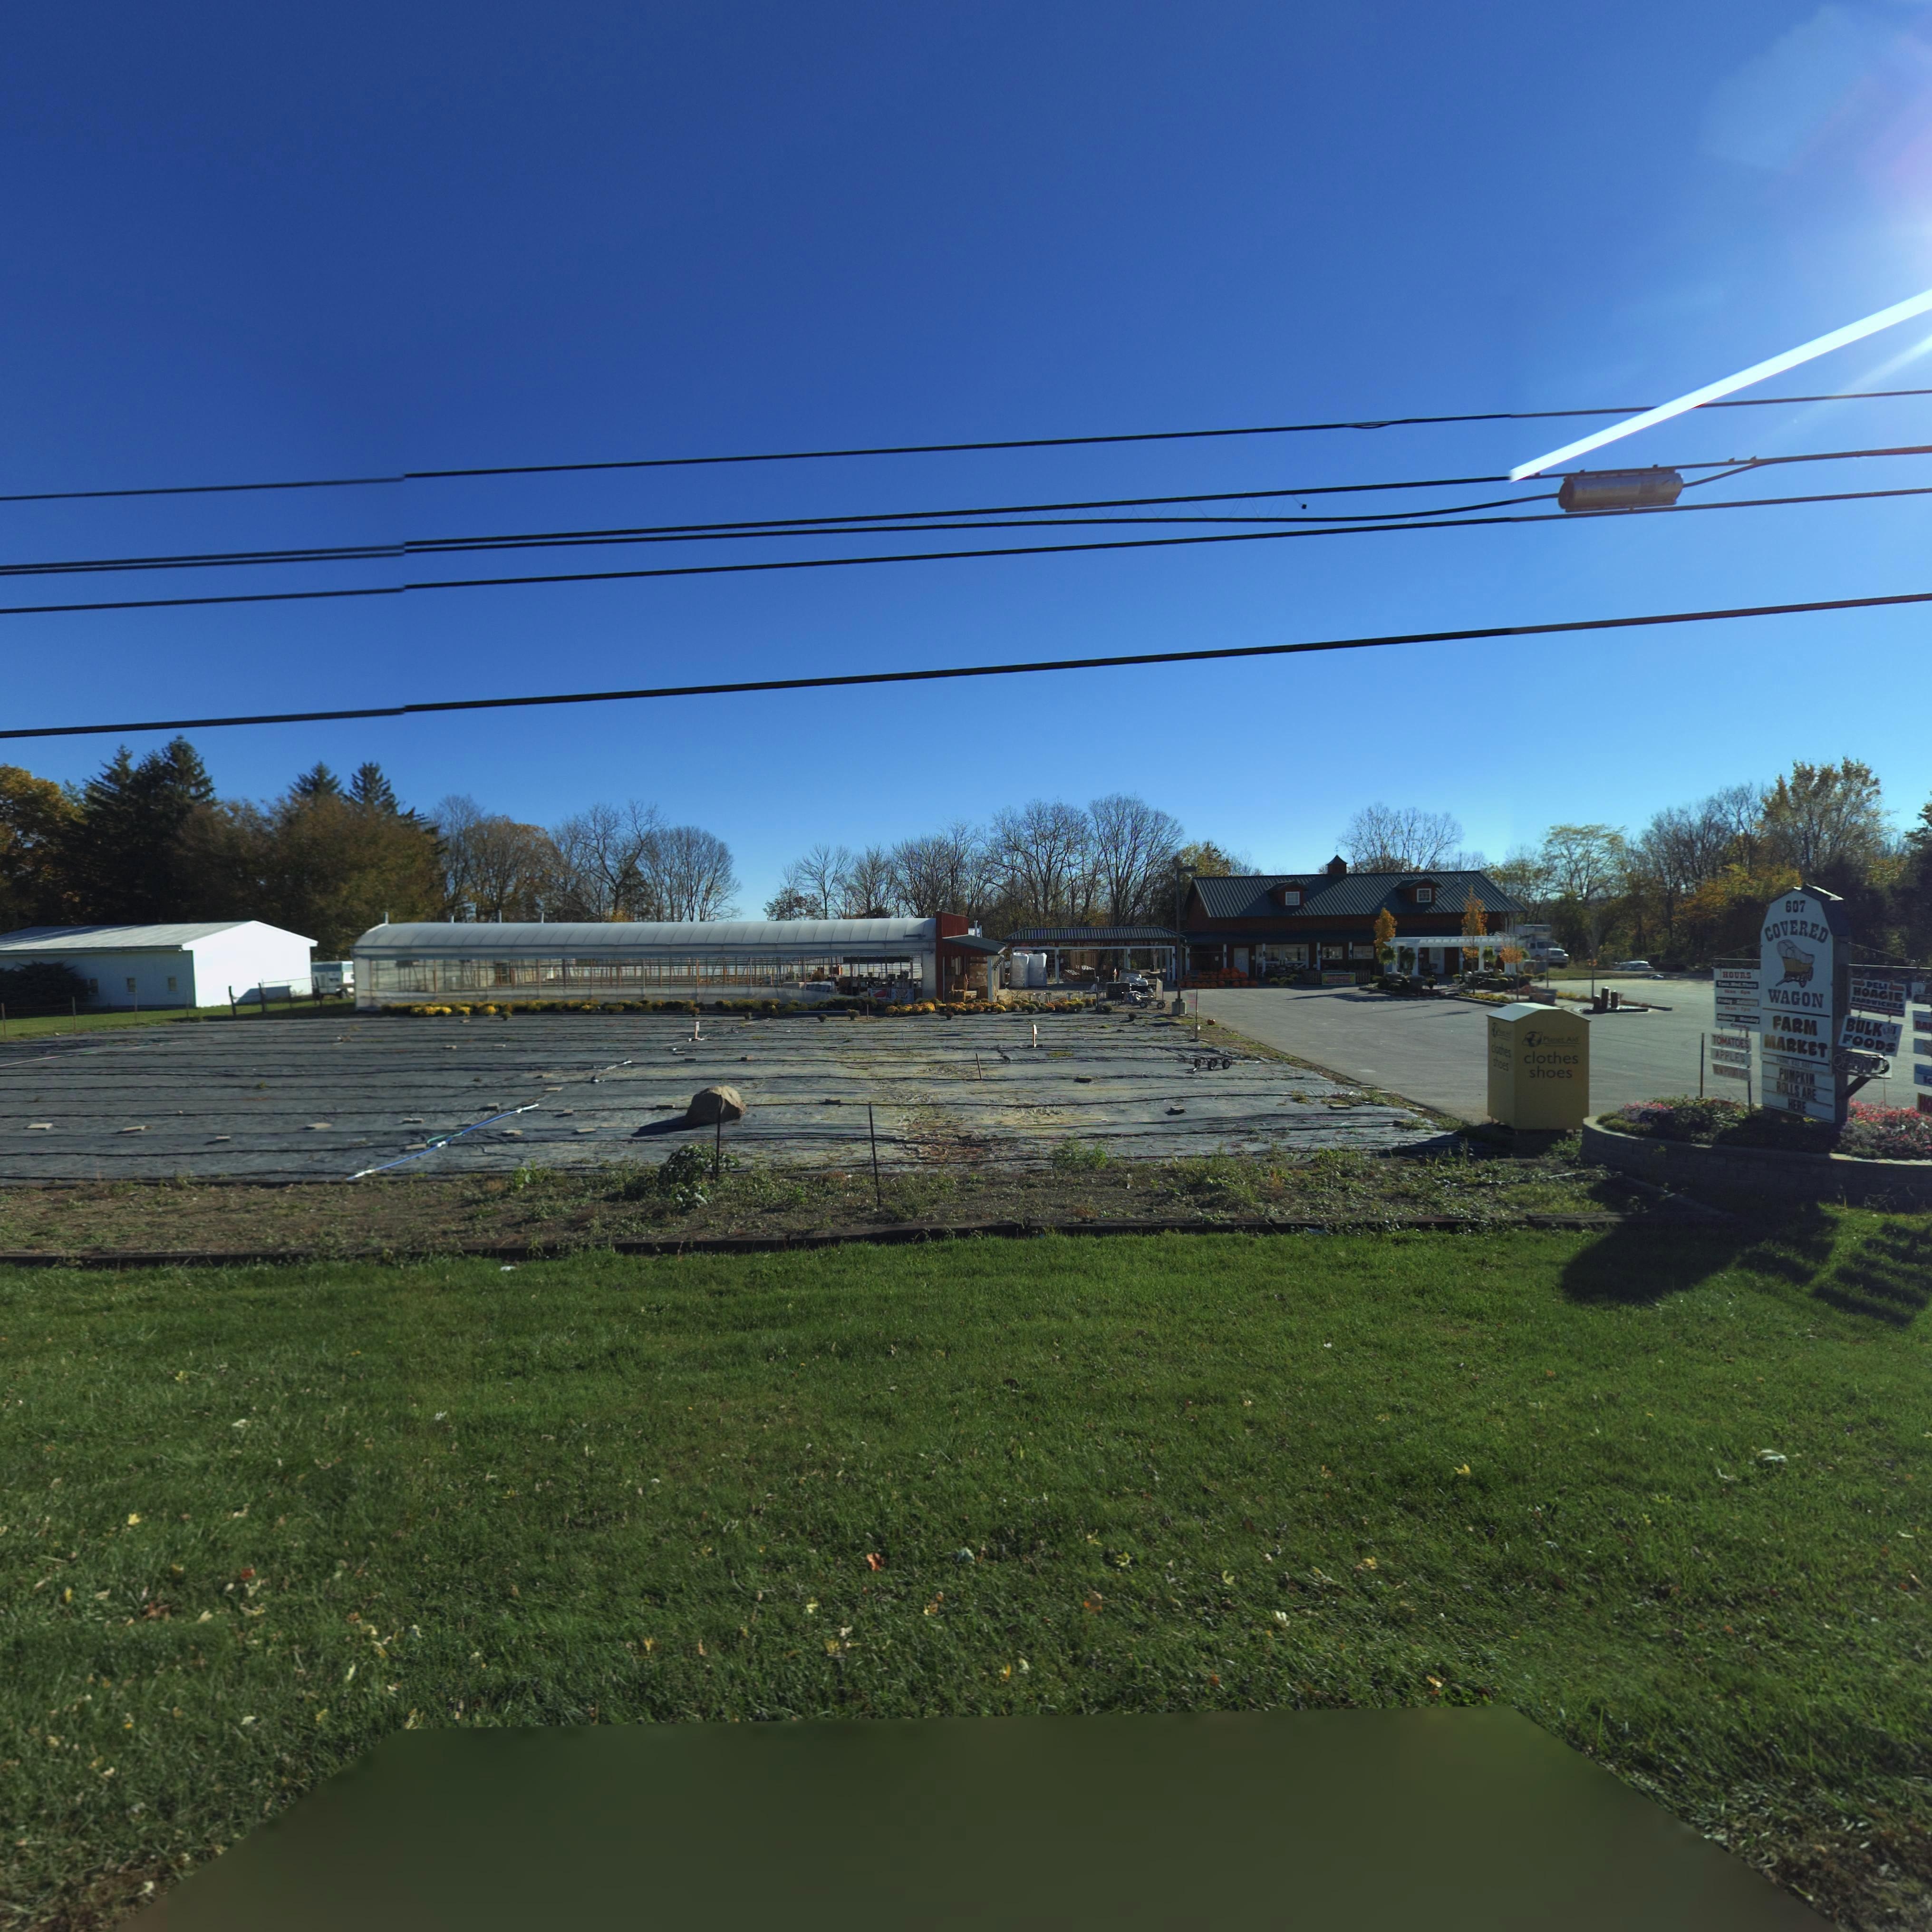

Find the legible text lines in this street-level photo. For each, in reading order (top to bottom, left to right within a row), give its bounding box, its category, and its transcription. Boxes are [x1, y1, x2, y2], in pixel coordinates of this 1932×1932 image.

[1786, 899, 1806, 914] StreetNumber: 607
[1763, 919, 1831, 945] BusinessName: COVERED
[1722, 971, 1751, 980] None: HOURS
[1767, 987, 1824, 1010] BusinessName: WAGON
[1866, 980, 1889, 991] None: DELI
[1853, 985, 1904, 1004] None: HOAGIE
[1771, 1015, 1818, 1037] BusinessName: FARM
[1845, 1018, 1883, 1039] None: BULK
[1491, 1054, 1509, 1072] None: shoes
[1490, 1042, 1512, 1060] None: clothes
[1522, 1048, 1579, 1066] None: clothes
[1529, 1066, 1572, 1079] None: shoes
[1542, 1034, 1578, 1044] None: Planet Aid
[1715, 1049, 1745, 1064] None: APPLES
[1712, 1034, 1749, 1050] None: TOMATOES
[1763, 1033, 1827, 1060] BusinessName: MARKET
[1778, 1067, 1815, 1087] None: PUMPKIN
[1830, 1052, 1875, 1075] None: OPEN
[1841, 1032, 1897, 1056] None: FOODS
[1776, 1081, 1817, 1102] None: ROLLS ARE
[1787, 1097, 1806, 1114] None: HERE